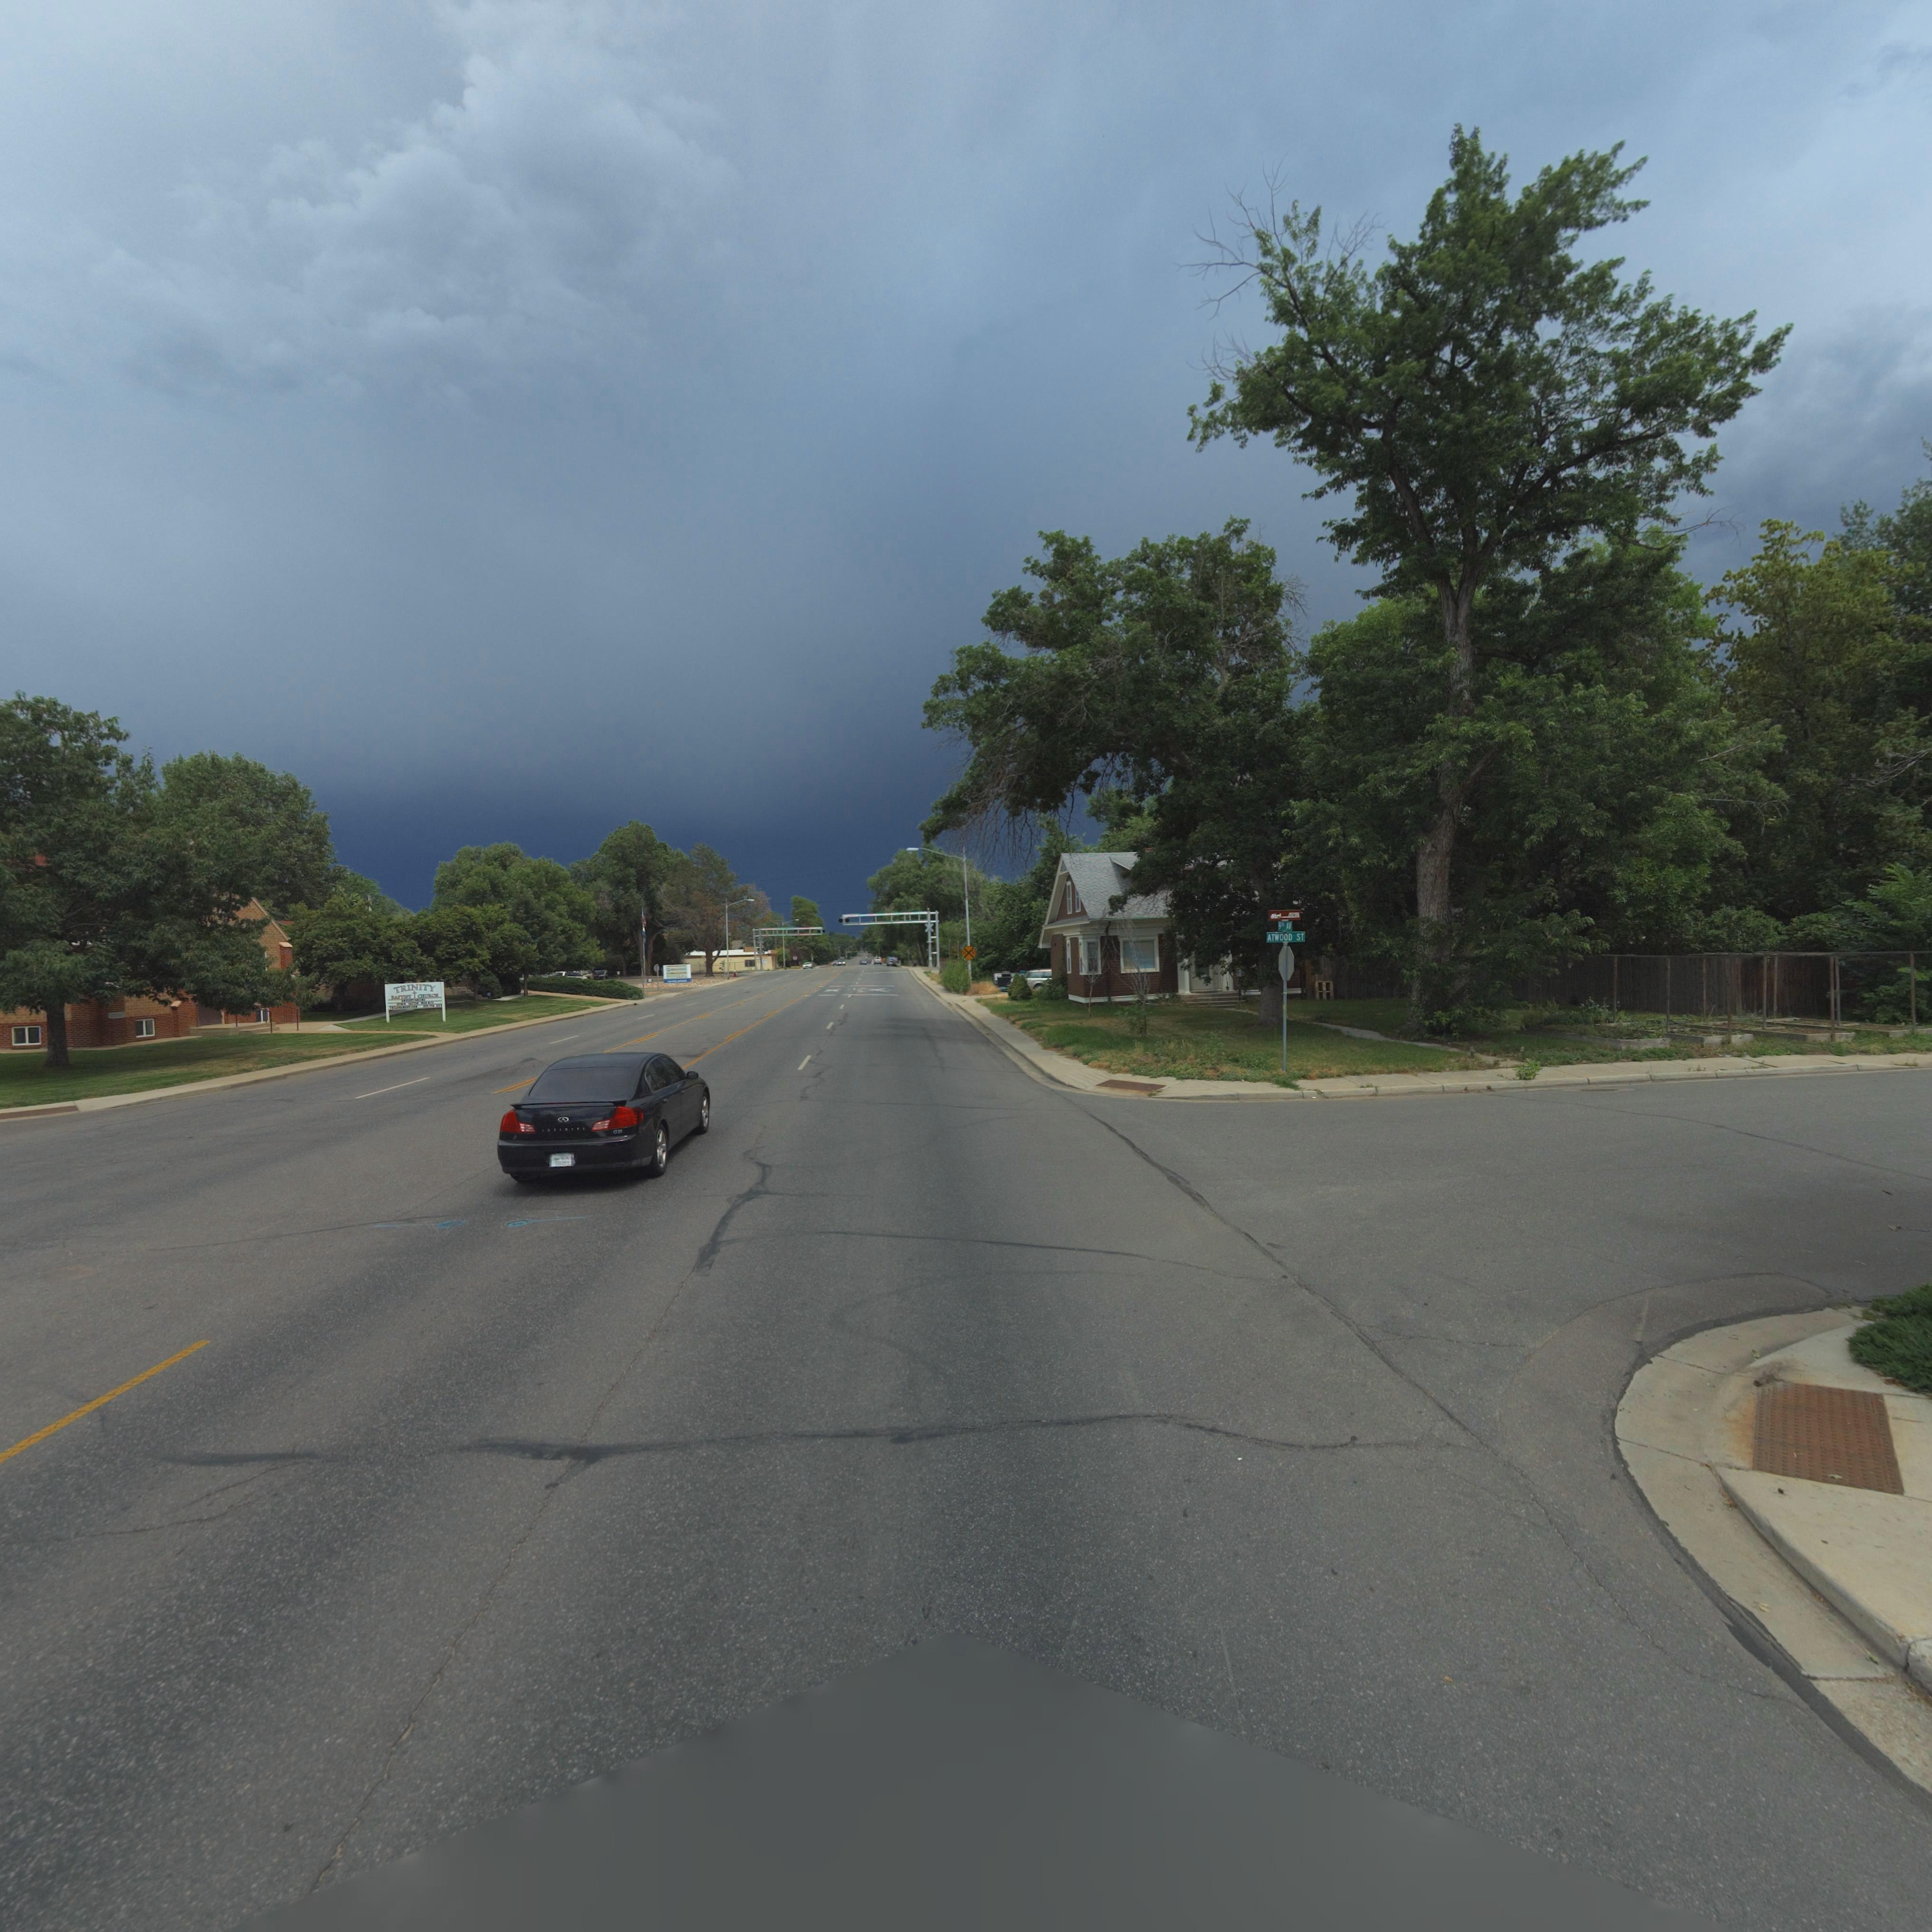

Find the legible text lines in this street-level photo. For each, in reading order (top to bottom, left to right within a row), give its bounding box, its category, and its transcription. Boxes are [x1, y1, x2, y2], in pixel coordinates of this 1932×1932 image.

[1278, 921, 1292, 929] StreetName: 9TH AV
[1266, 933, 1304, 942] StreetName: ATWOOD ST
[392, 983, 437, 994] BusinessName: TRINITY
[391, 993, 439, 999] BusinessName: BAPTIST CHURCH